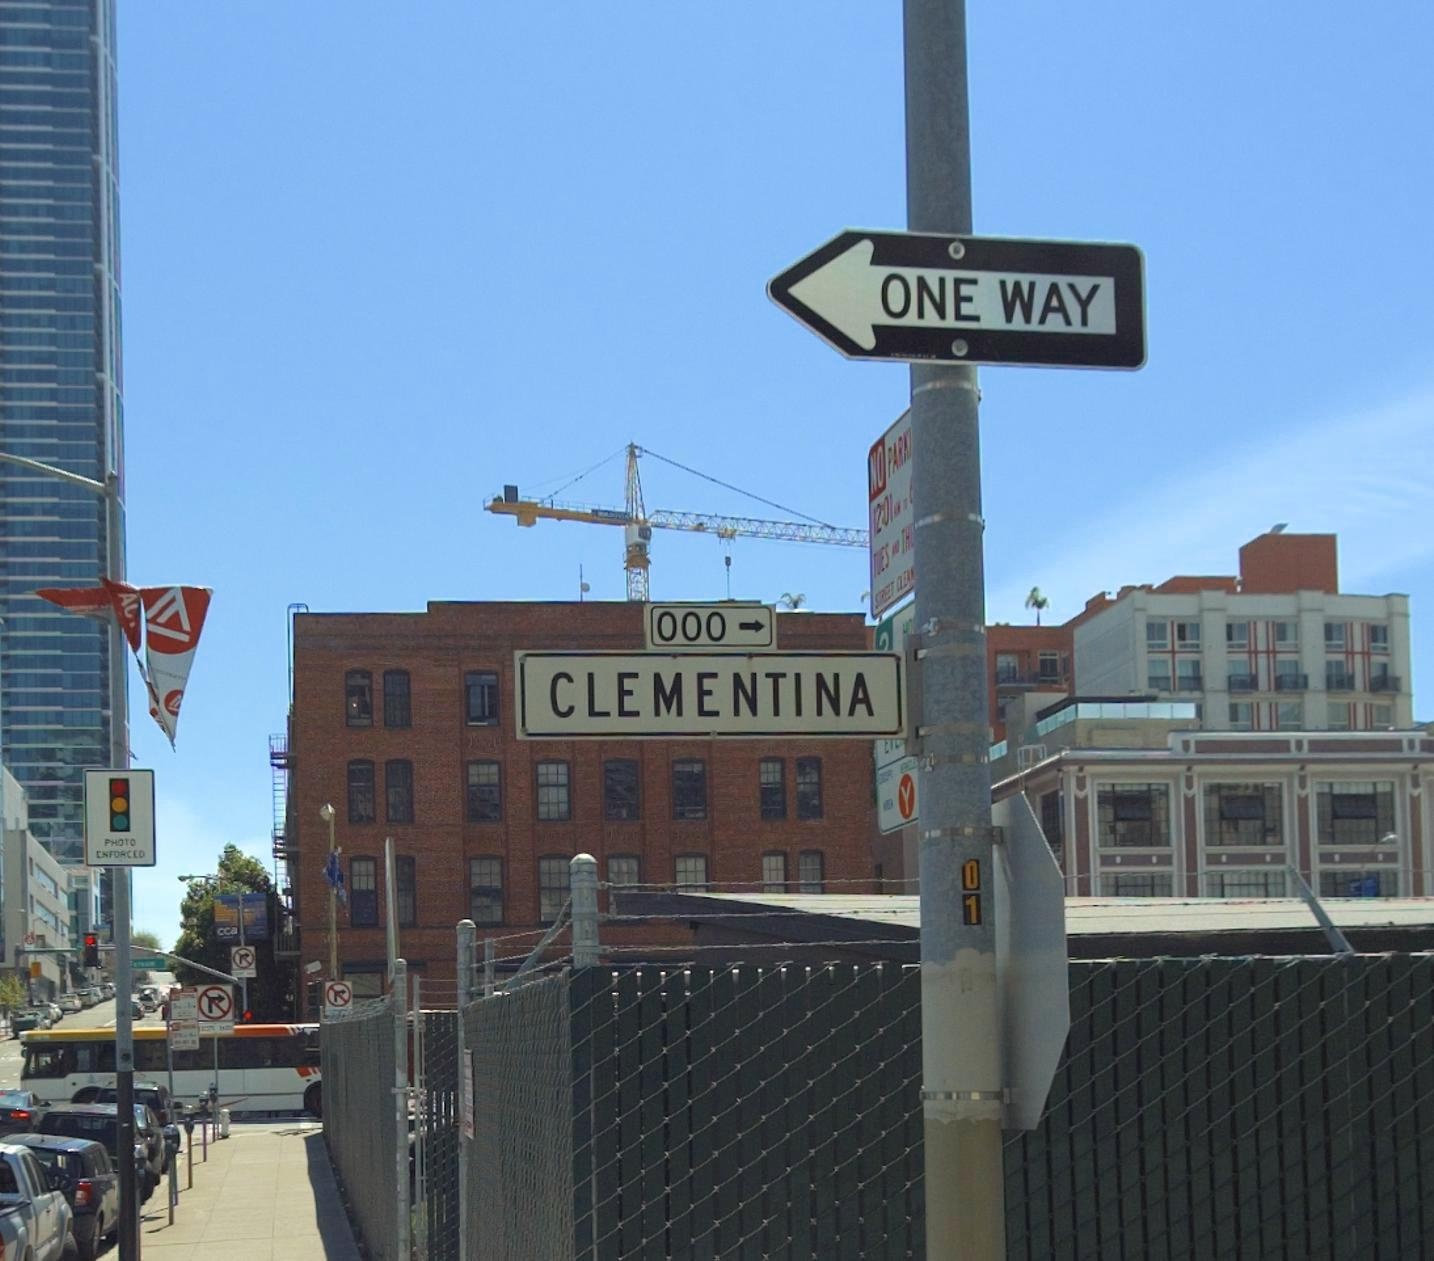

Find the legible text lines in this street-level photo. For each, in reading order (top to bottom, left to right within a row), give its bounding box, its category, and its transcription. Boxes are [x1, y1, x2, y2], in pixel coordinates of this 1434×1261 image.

[880, 273, 1105, 328] None: ONE WAY
[869, 421, 912, 499] None: NO PARKI
[870, 488, 893, 539] None: 12:01
[872, 539, 892, 581] None: TUES
[901, 522, 911, 556] None: TH
[873, 566, 912, 611] None: STREET CLE*
[655, 611, 768, 643] StreetNumberRange: 000->
[545, 664, 879, 721] StreetName: CLEMENTINA
[897, 779, 914, 819] None: Y
[102, 837, 137, 847] None: PHOTO
[95, 849, 146, 859] None: ENFORCED
[961, 859, 981, 925] None: 01